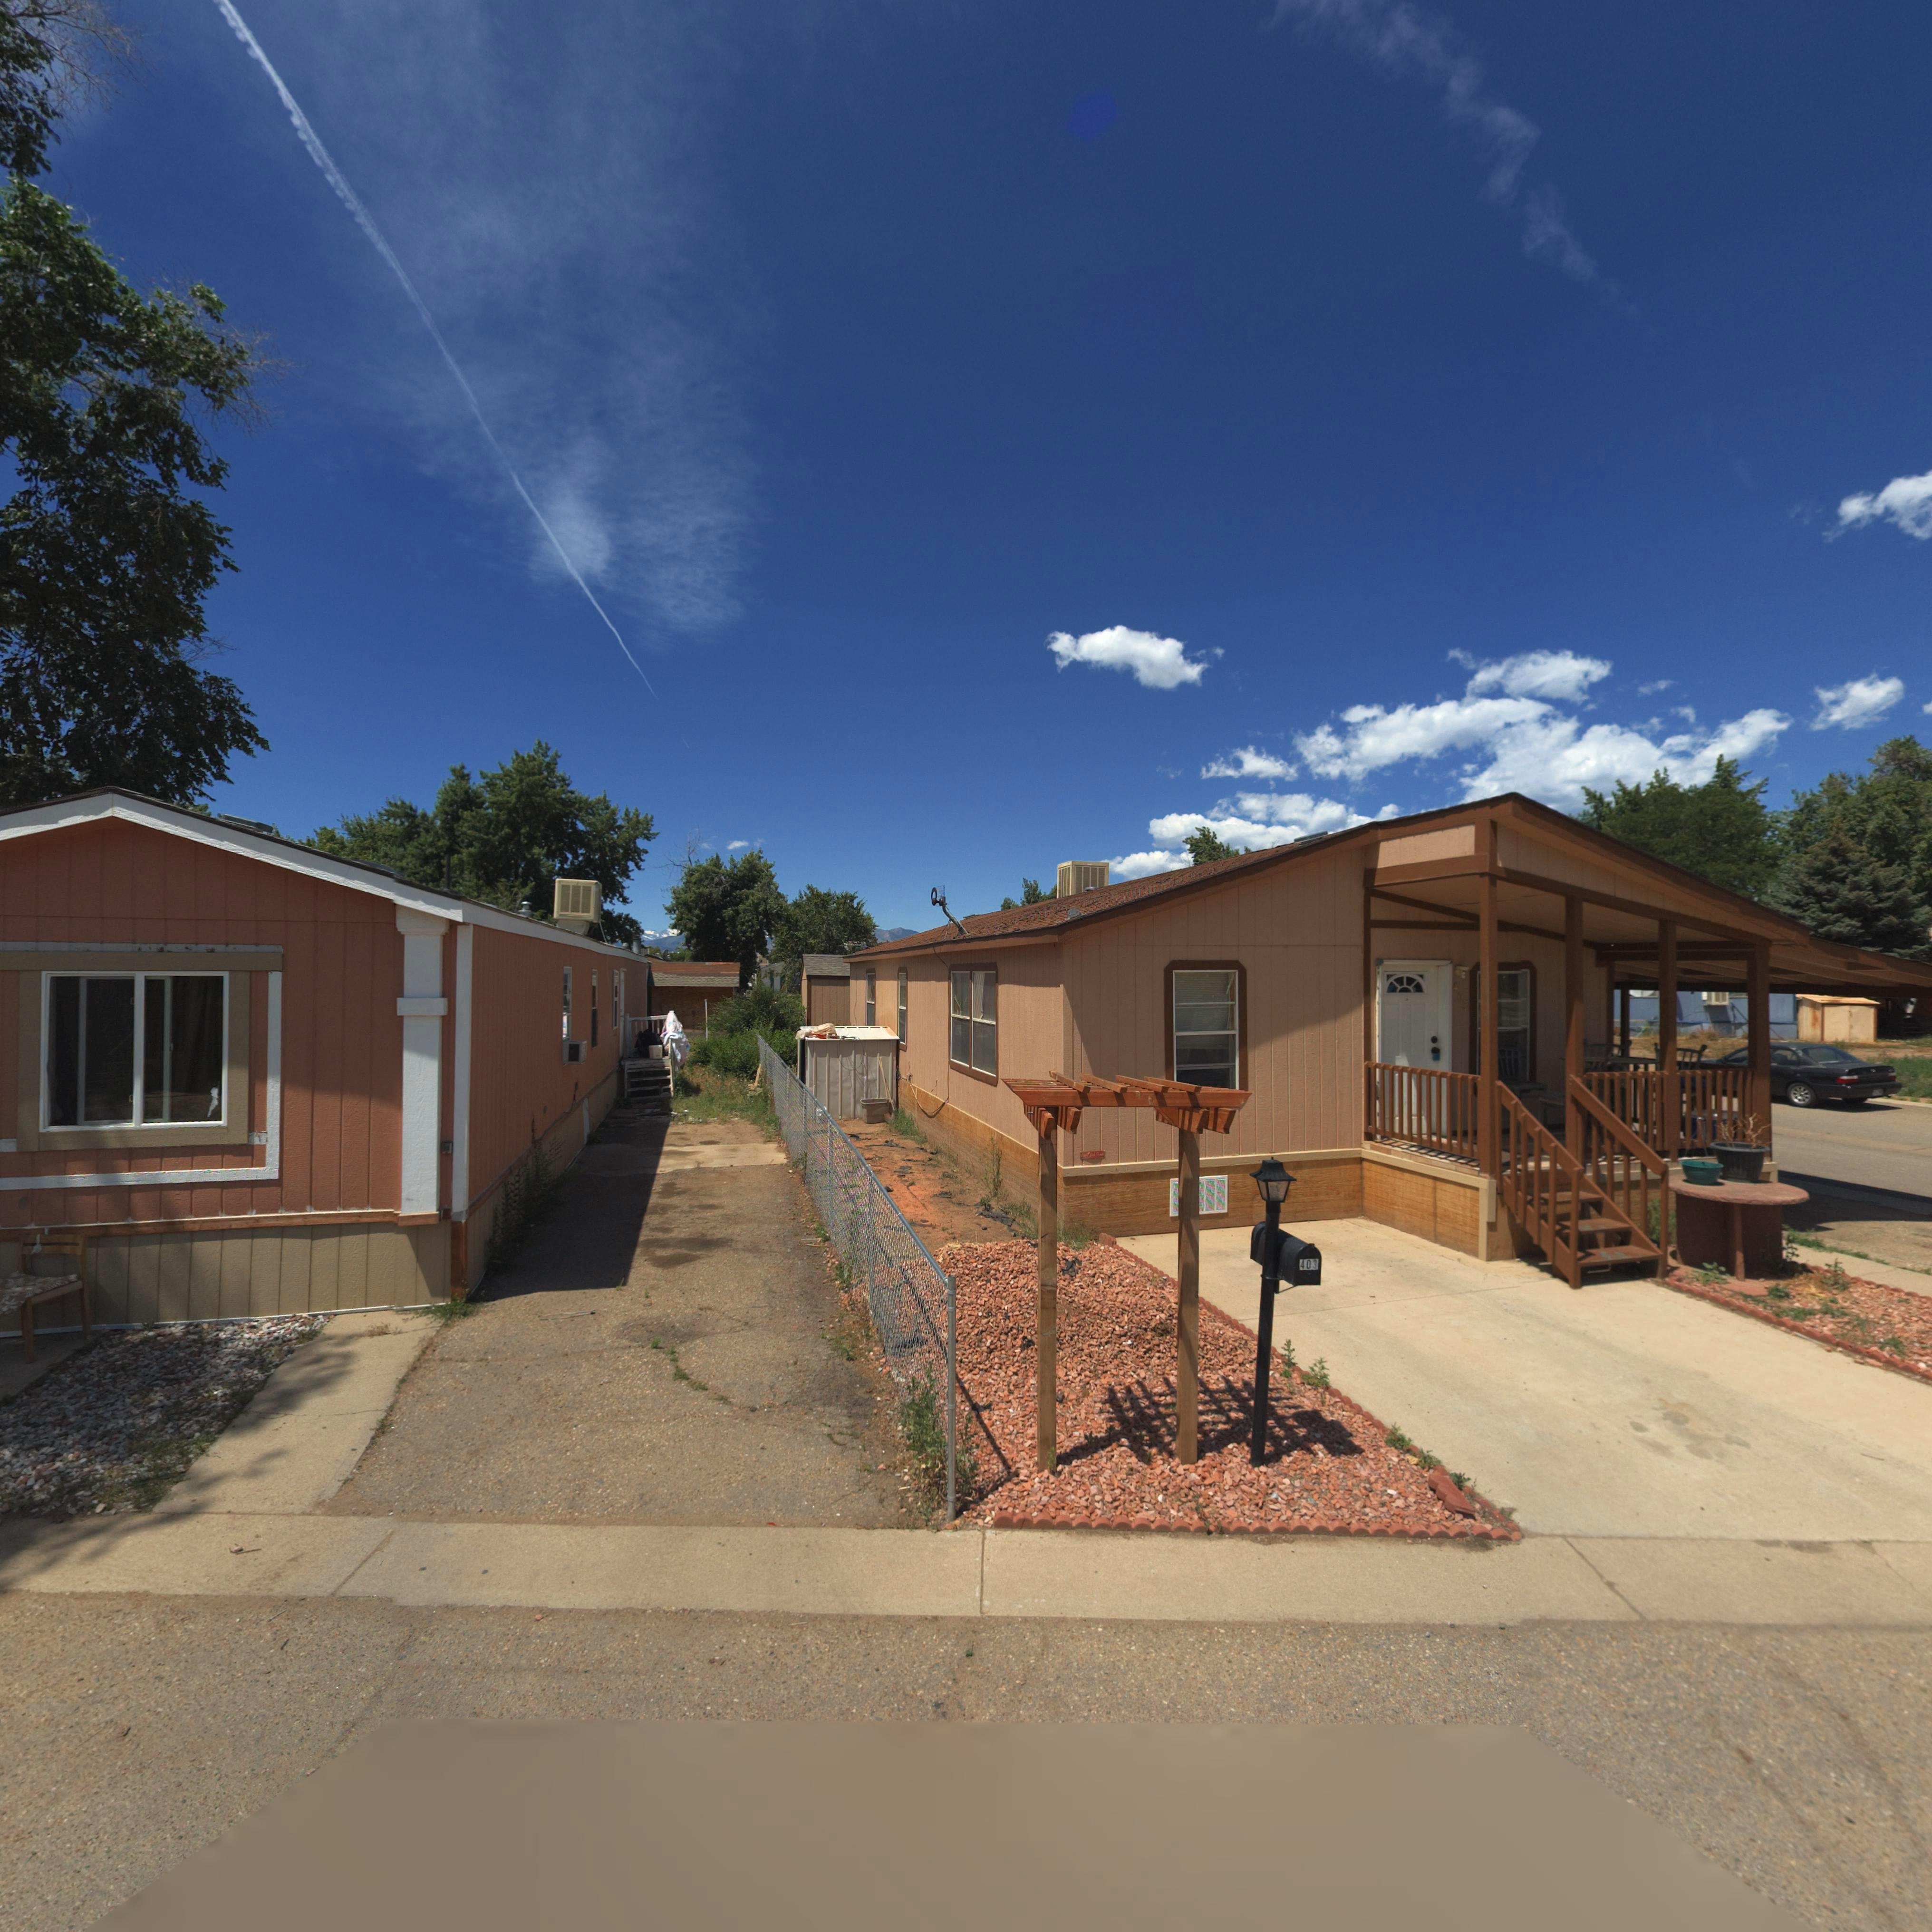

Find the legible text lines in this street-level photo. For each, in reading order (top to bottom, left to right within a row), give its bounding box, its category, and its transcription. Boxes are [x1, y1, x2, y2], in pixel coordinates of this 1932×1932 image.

[1451, 981, 1469, 1013] StreetNumber: 403
[1300, 1259, 1317, 1269] StreetNumber: 403